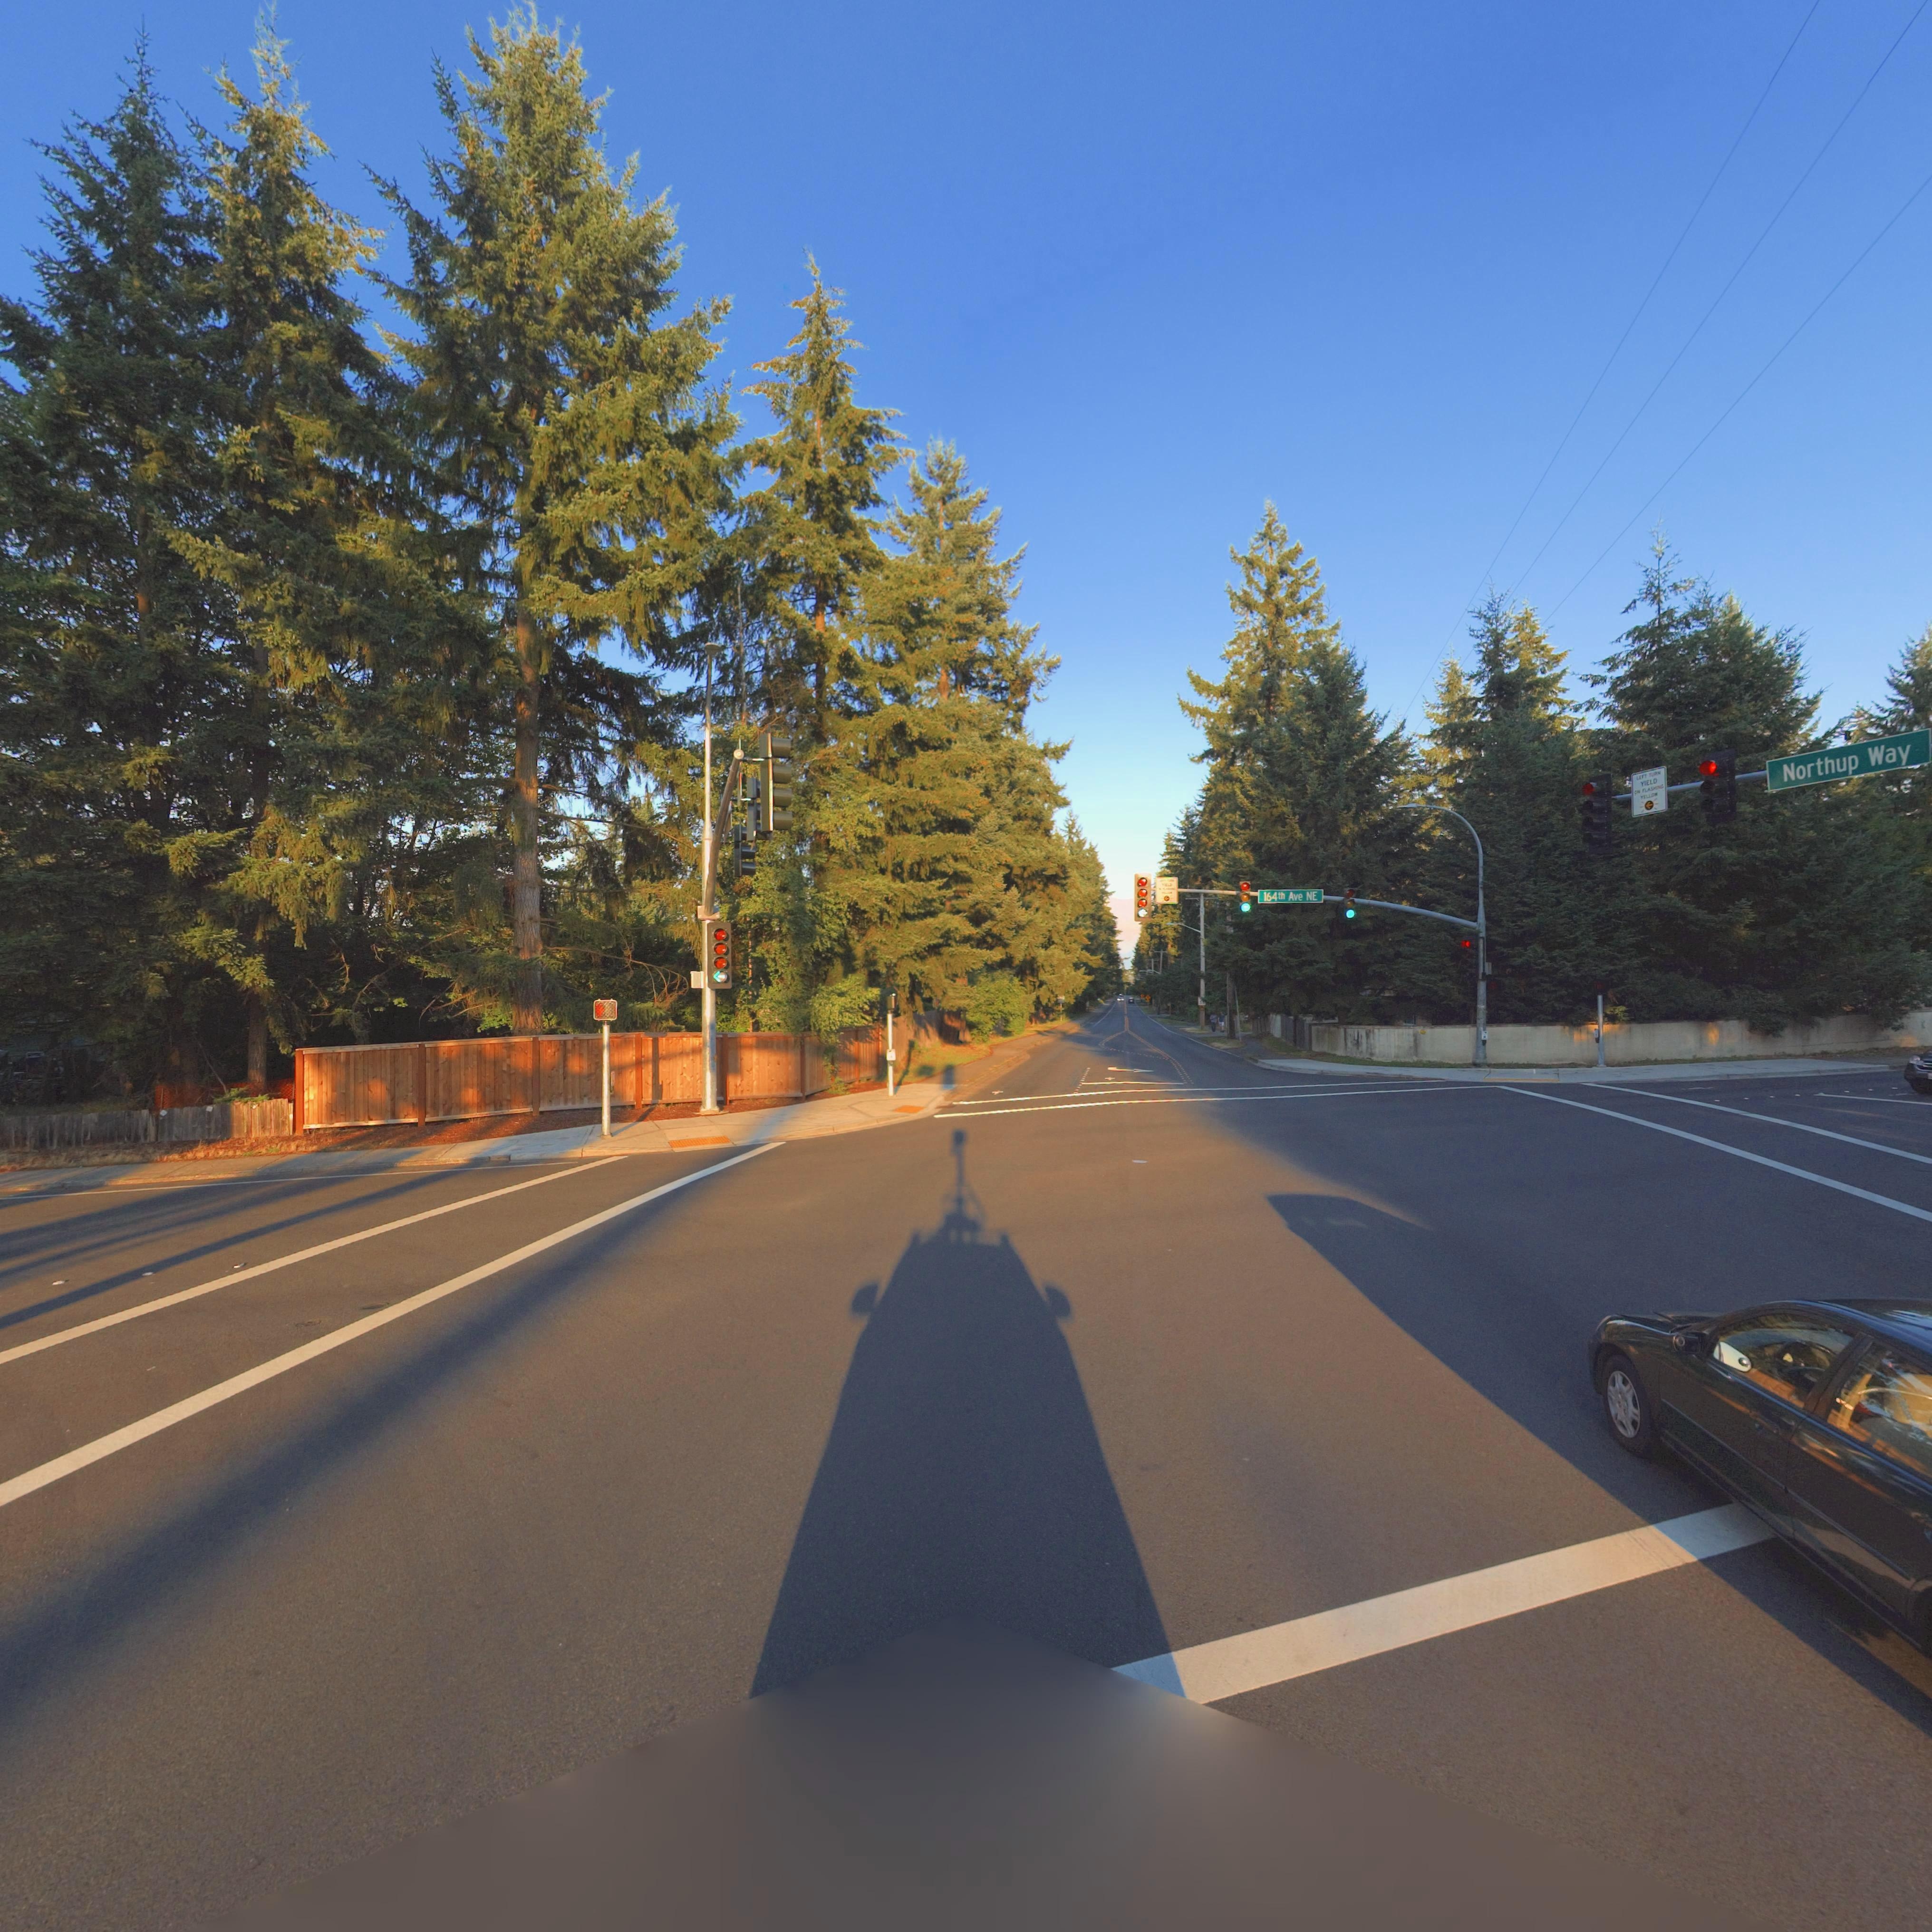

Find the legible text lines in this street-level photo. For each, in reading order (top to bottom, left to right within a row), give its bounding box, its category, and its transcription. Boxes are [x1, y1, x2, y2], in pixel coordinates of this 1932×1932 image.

[1783, 744, 1911, 782] StreetName: Northup Way
[1264, 891, 1317, 901] StreetName: 164th Ave NE